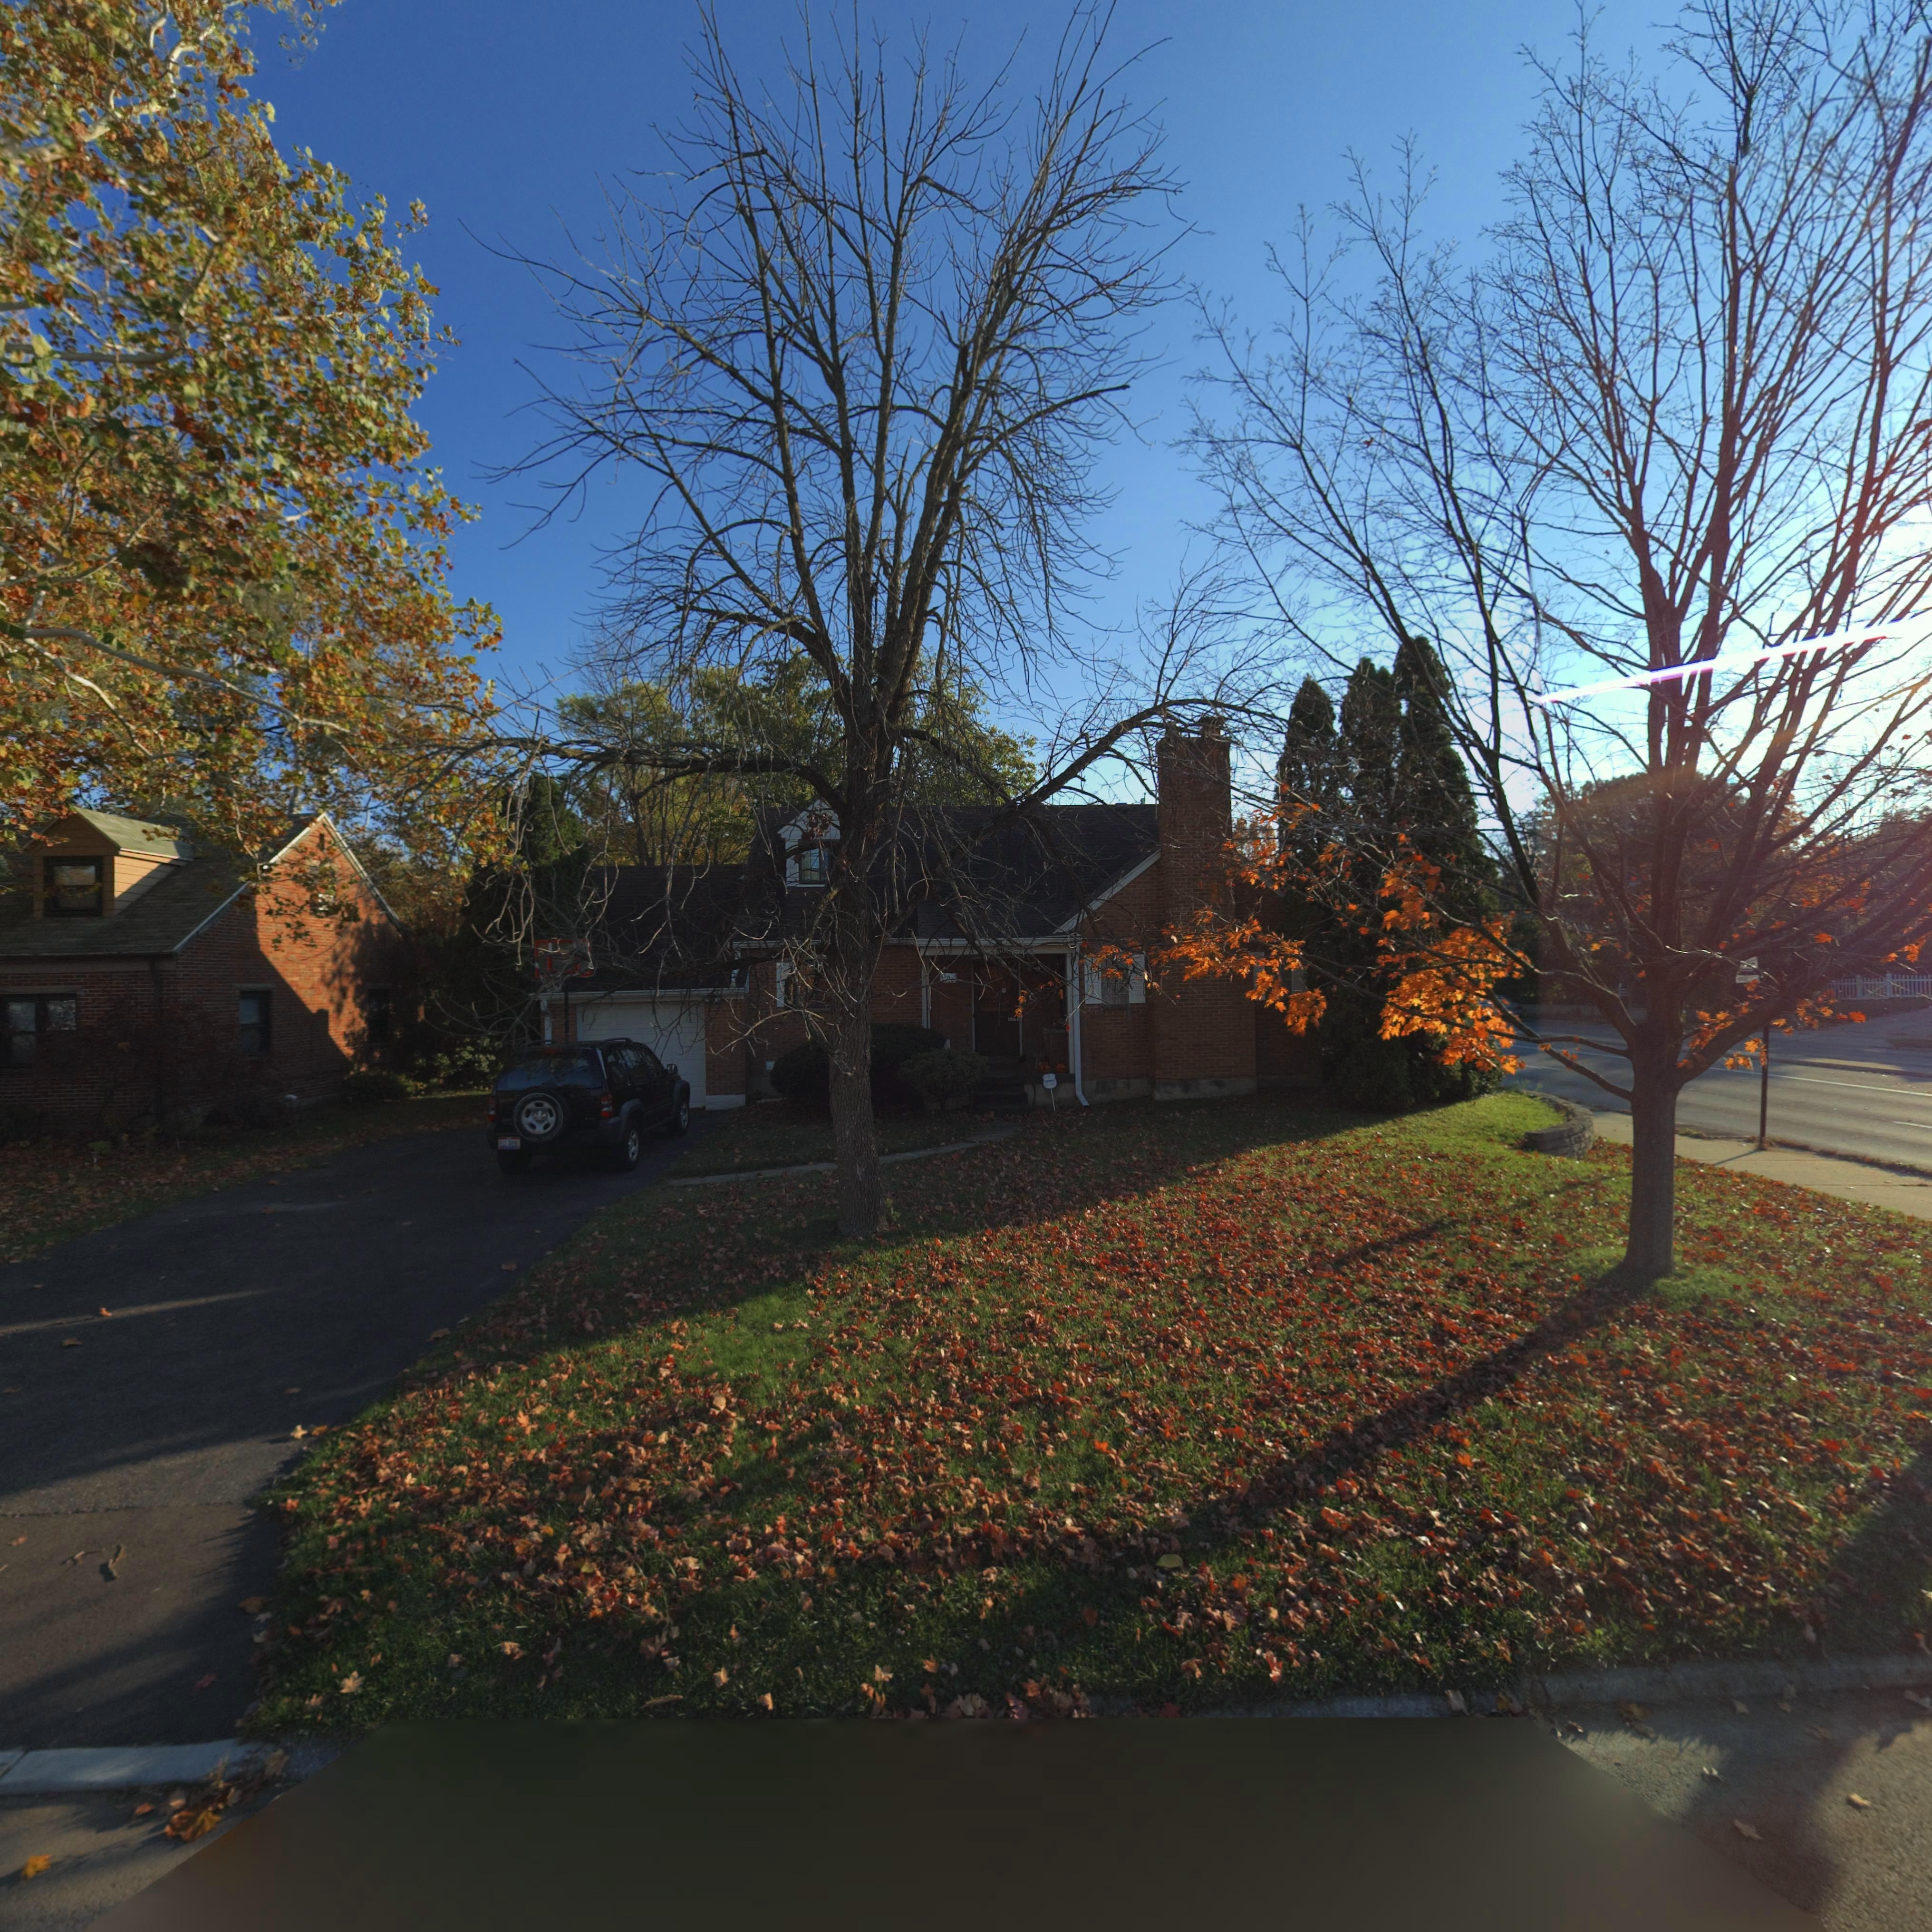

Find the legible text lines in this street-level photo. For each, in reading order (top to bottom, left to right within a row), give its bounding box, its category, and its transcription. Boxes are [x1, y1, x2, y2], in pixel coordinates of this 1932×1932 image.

[998, 947, 1008, 954] StreetNumber: 50*